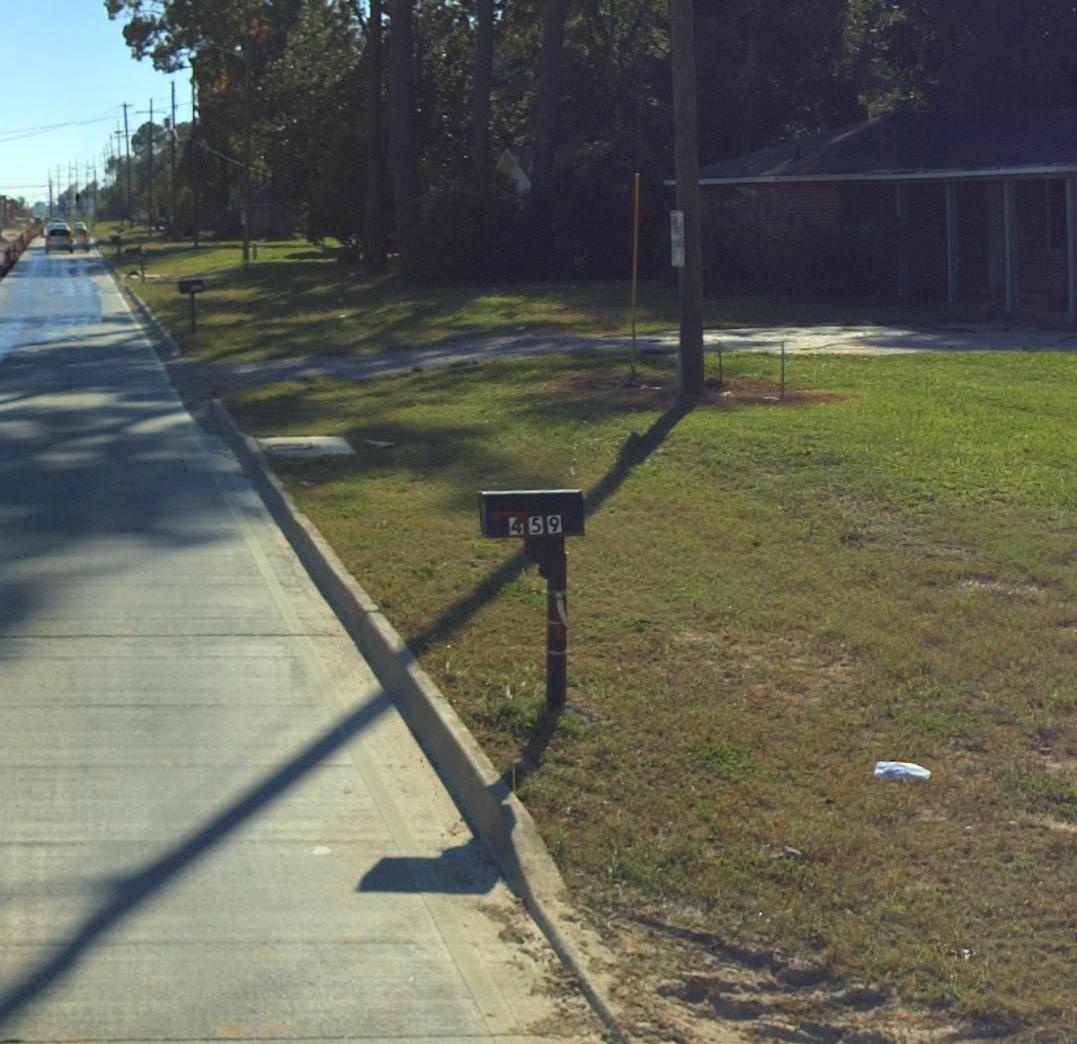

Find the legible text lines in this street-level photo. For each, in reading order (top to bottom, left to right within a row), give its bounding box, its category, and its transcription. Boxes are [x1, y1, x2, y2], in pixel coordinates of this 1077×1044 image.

[508, 517, 560, 535] StreetNumber: 459